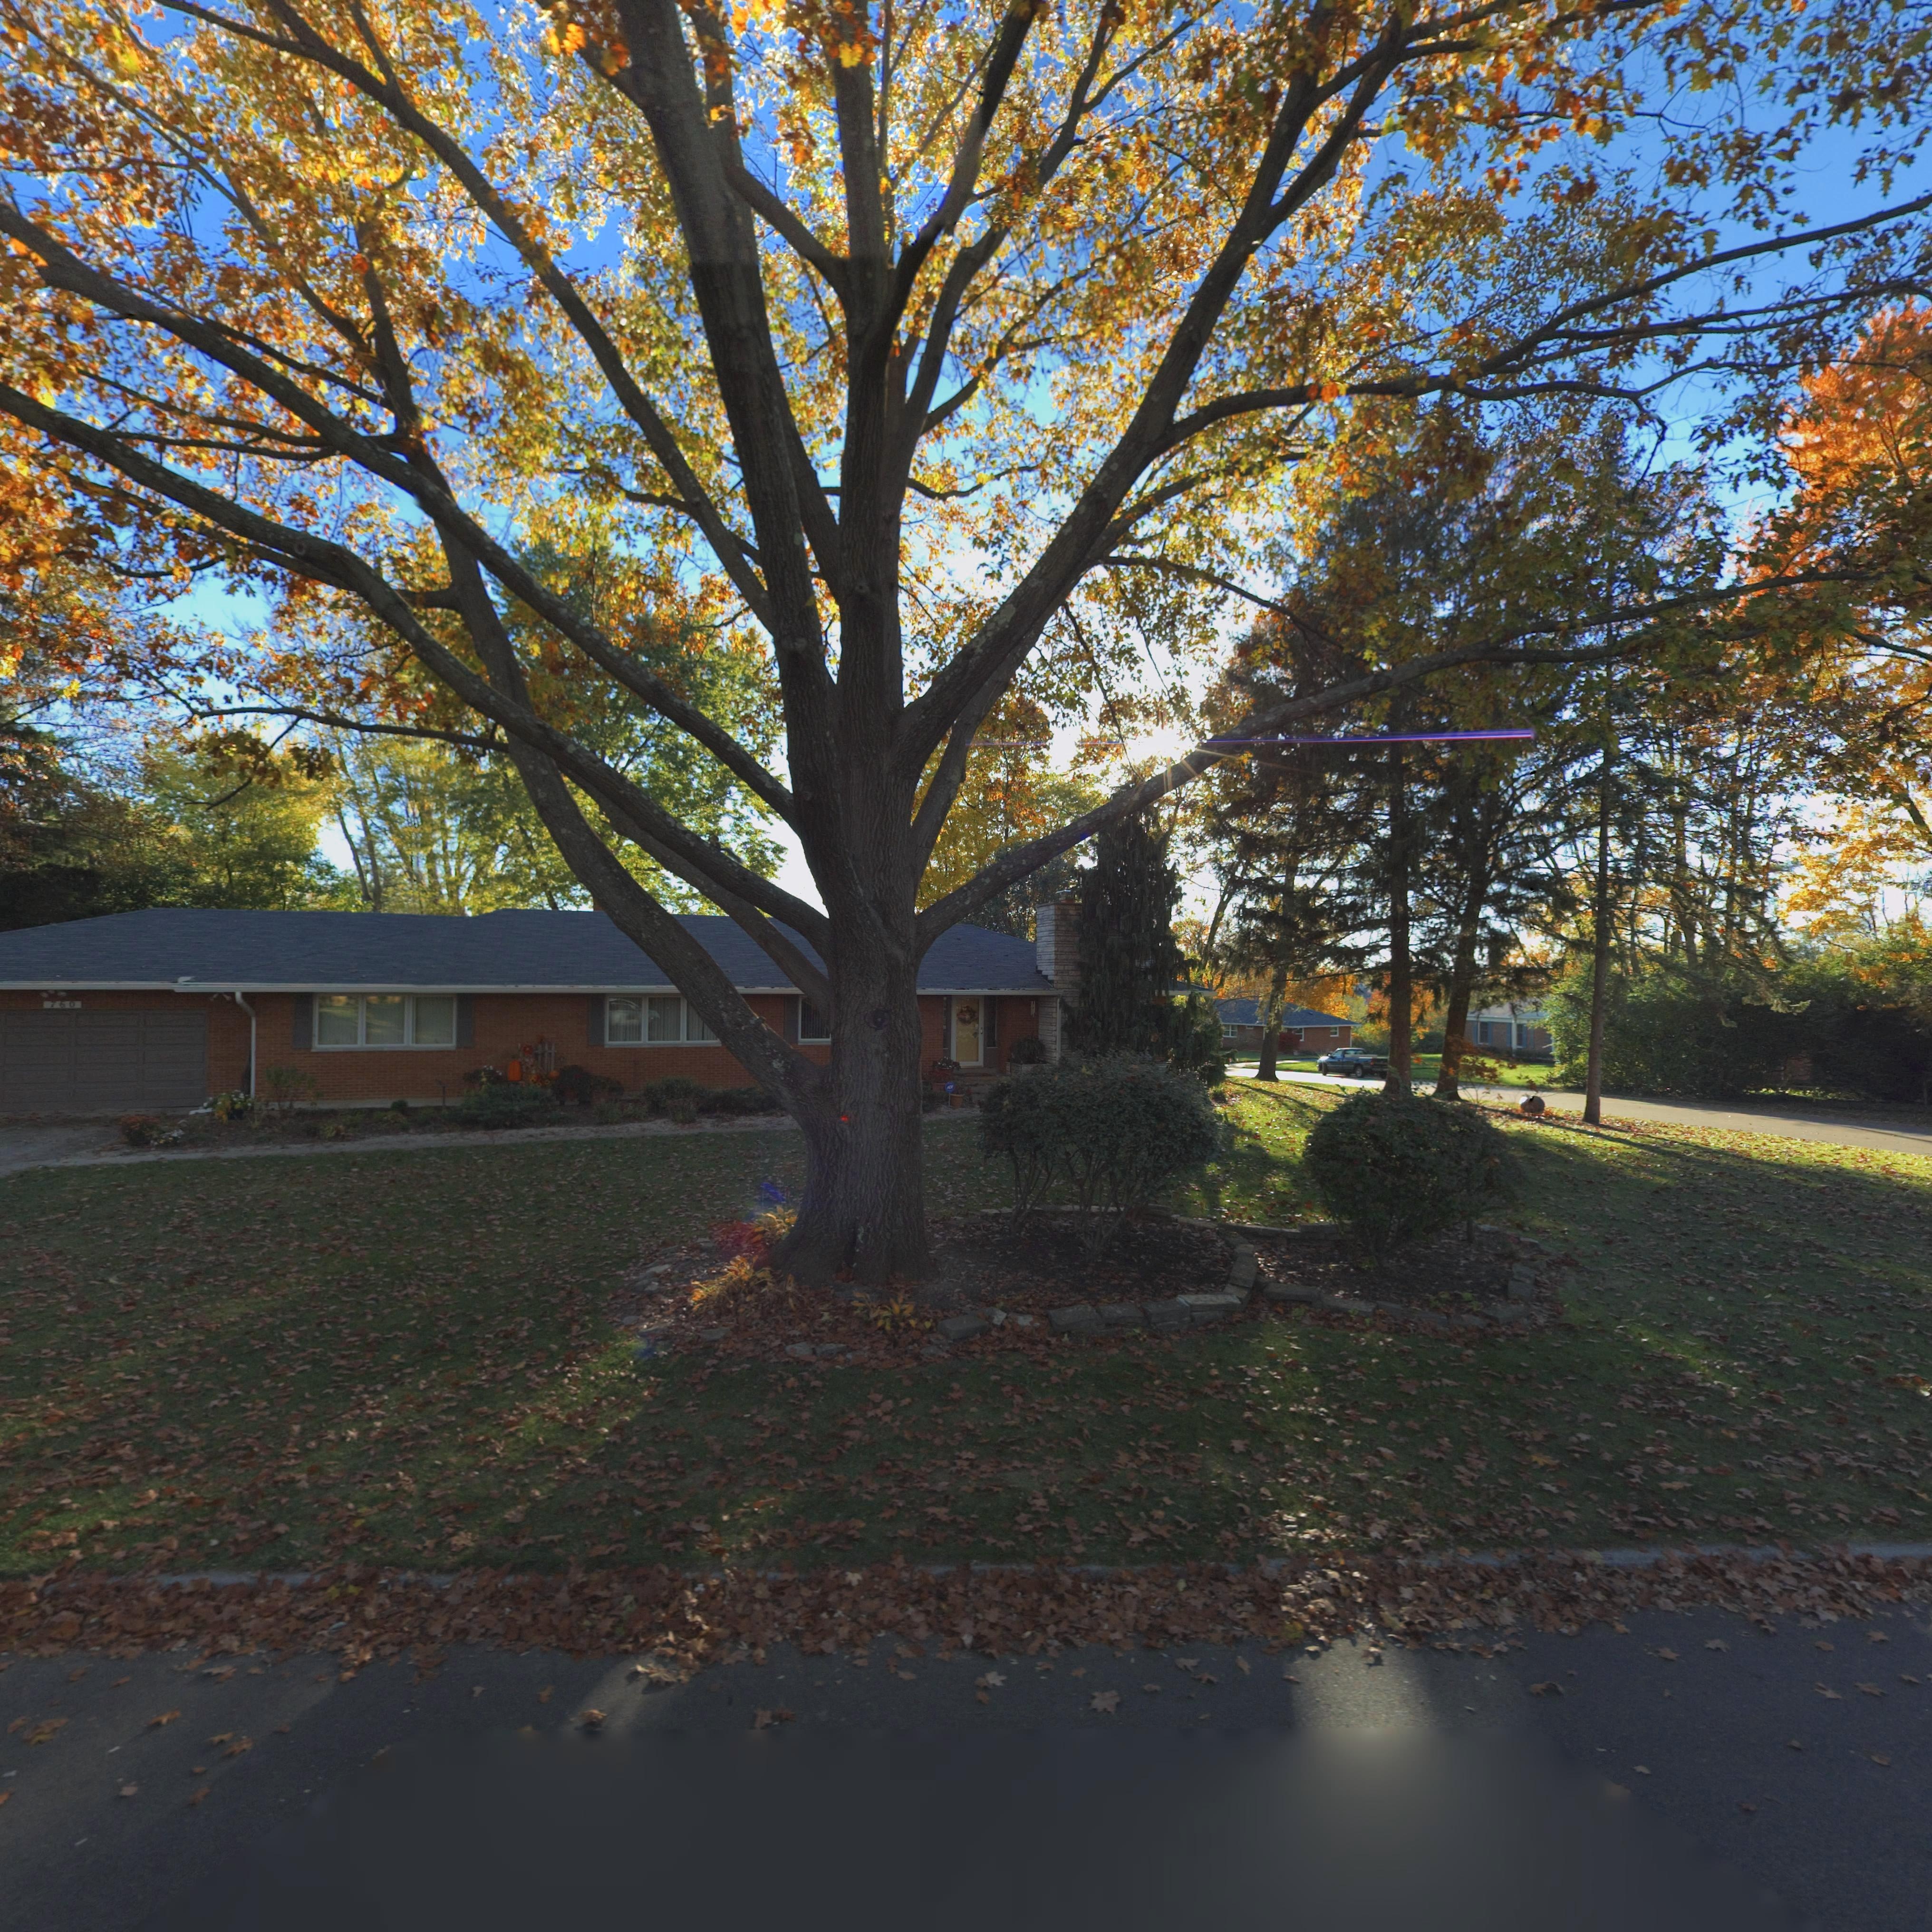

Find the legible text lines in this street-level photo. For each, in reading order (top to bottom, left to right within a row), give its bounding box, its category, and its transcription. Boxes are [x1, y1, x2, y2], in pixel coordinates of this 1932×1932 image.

[49, 1000, 76, 1008] StreetNumber: 760